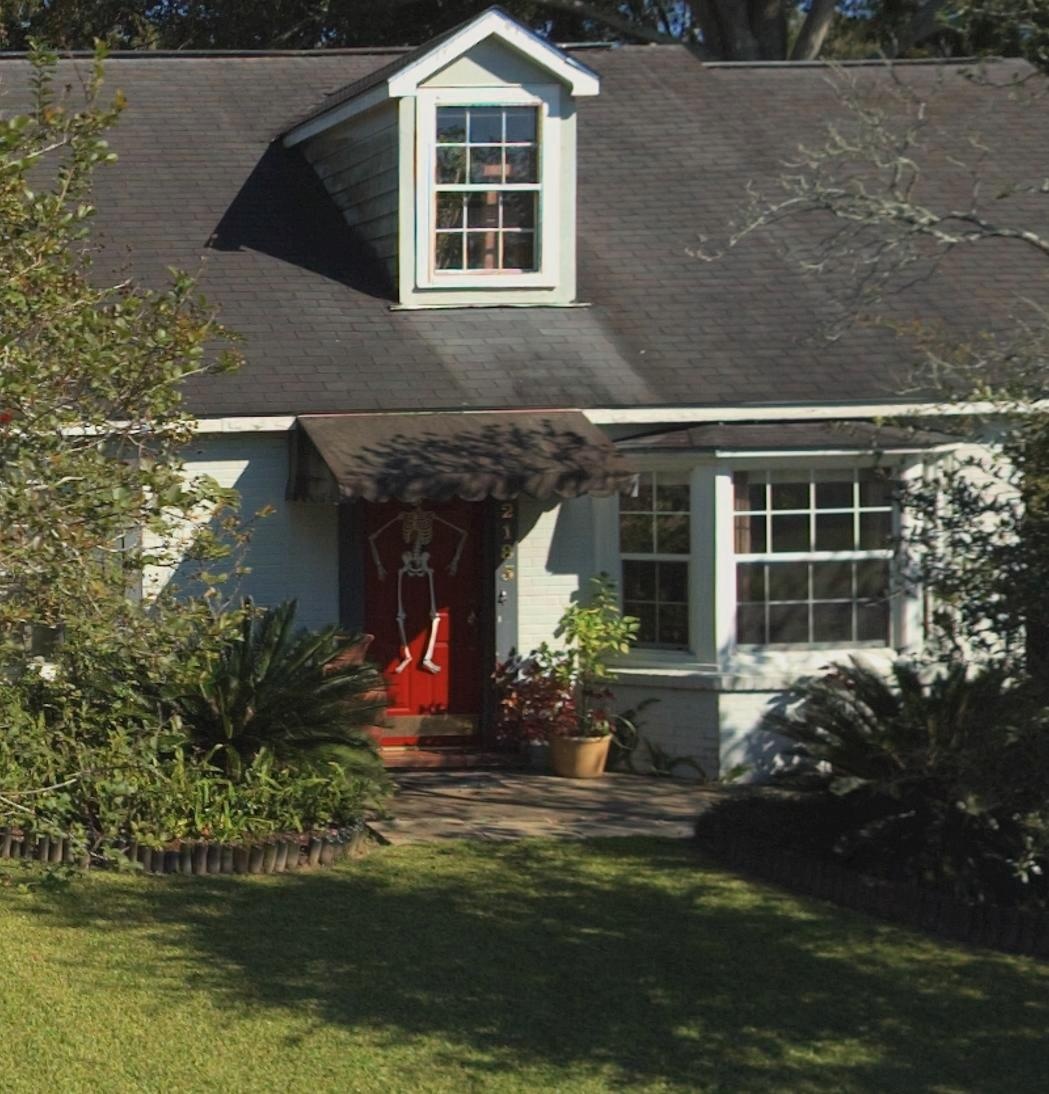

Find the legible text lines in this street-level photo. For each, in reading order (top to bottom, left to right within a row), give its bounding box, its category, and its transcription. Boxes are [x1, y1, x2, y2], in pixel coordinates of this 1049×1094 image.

[500, 500, 516, 583] StreetNumber: 2185